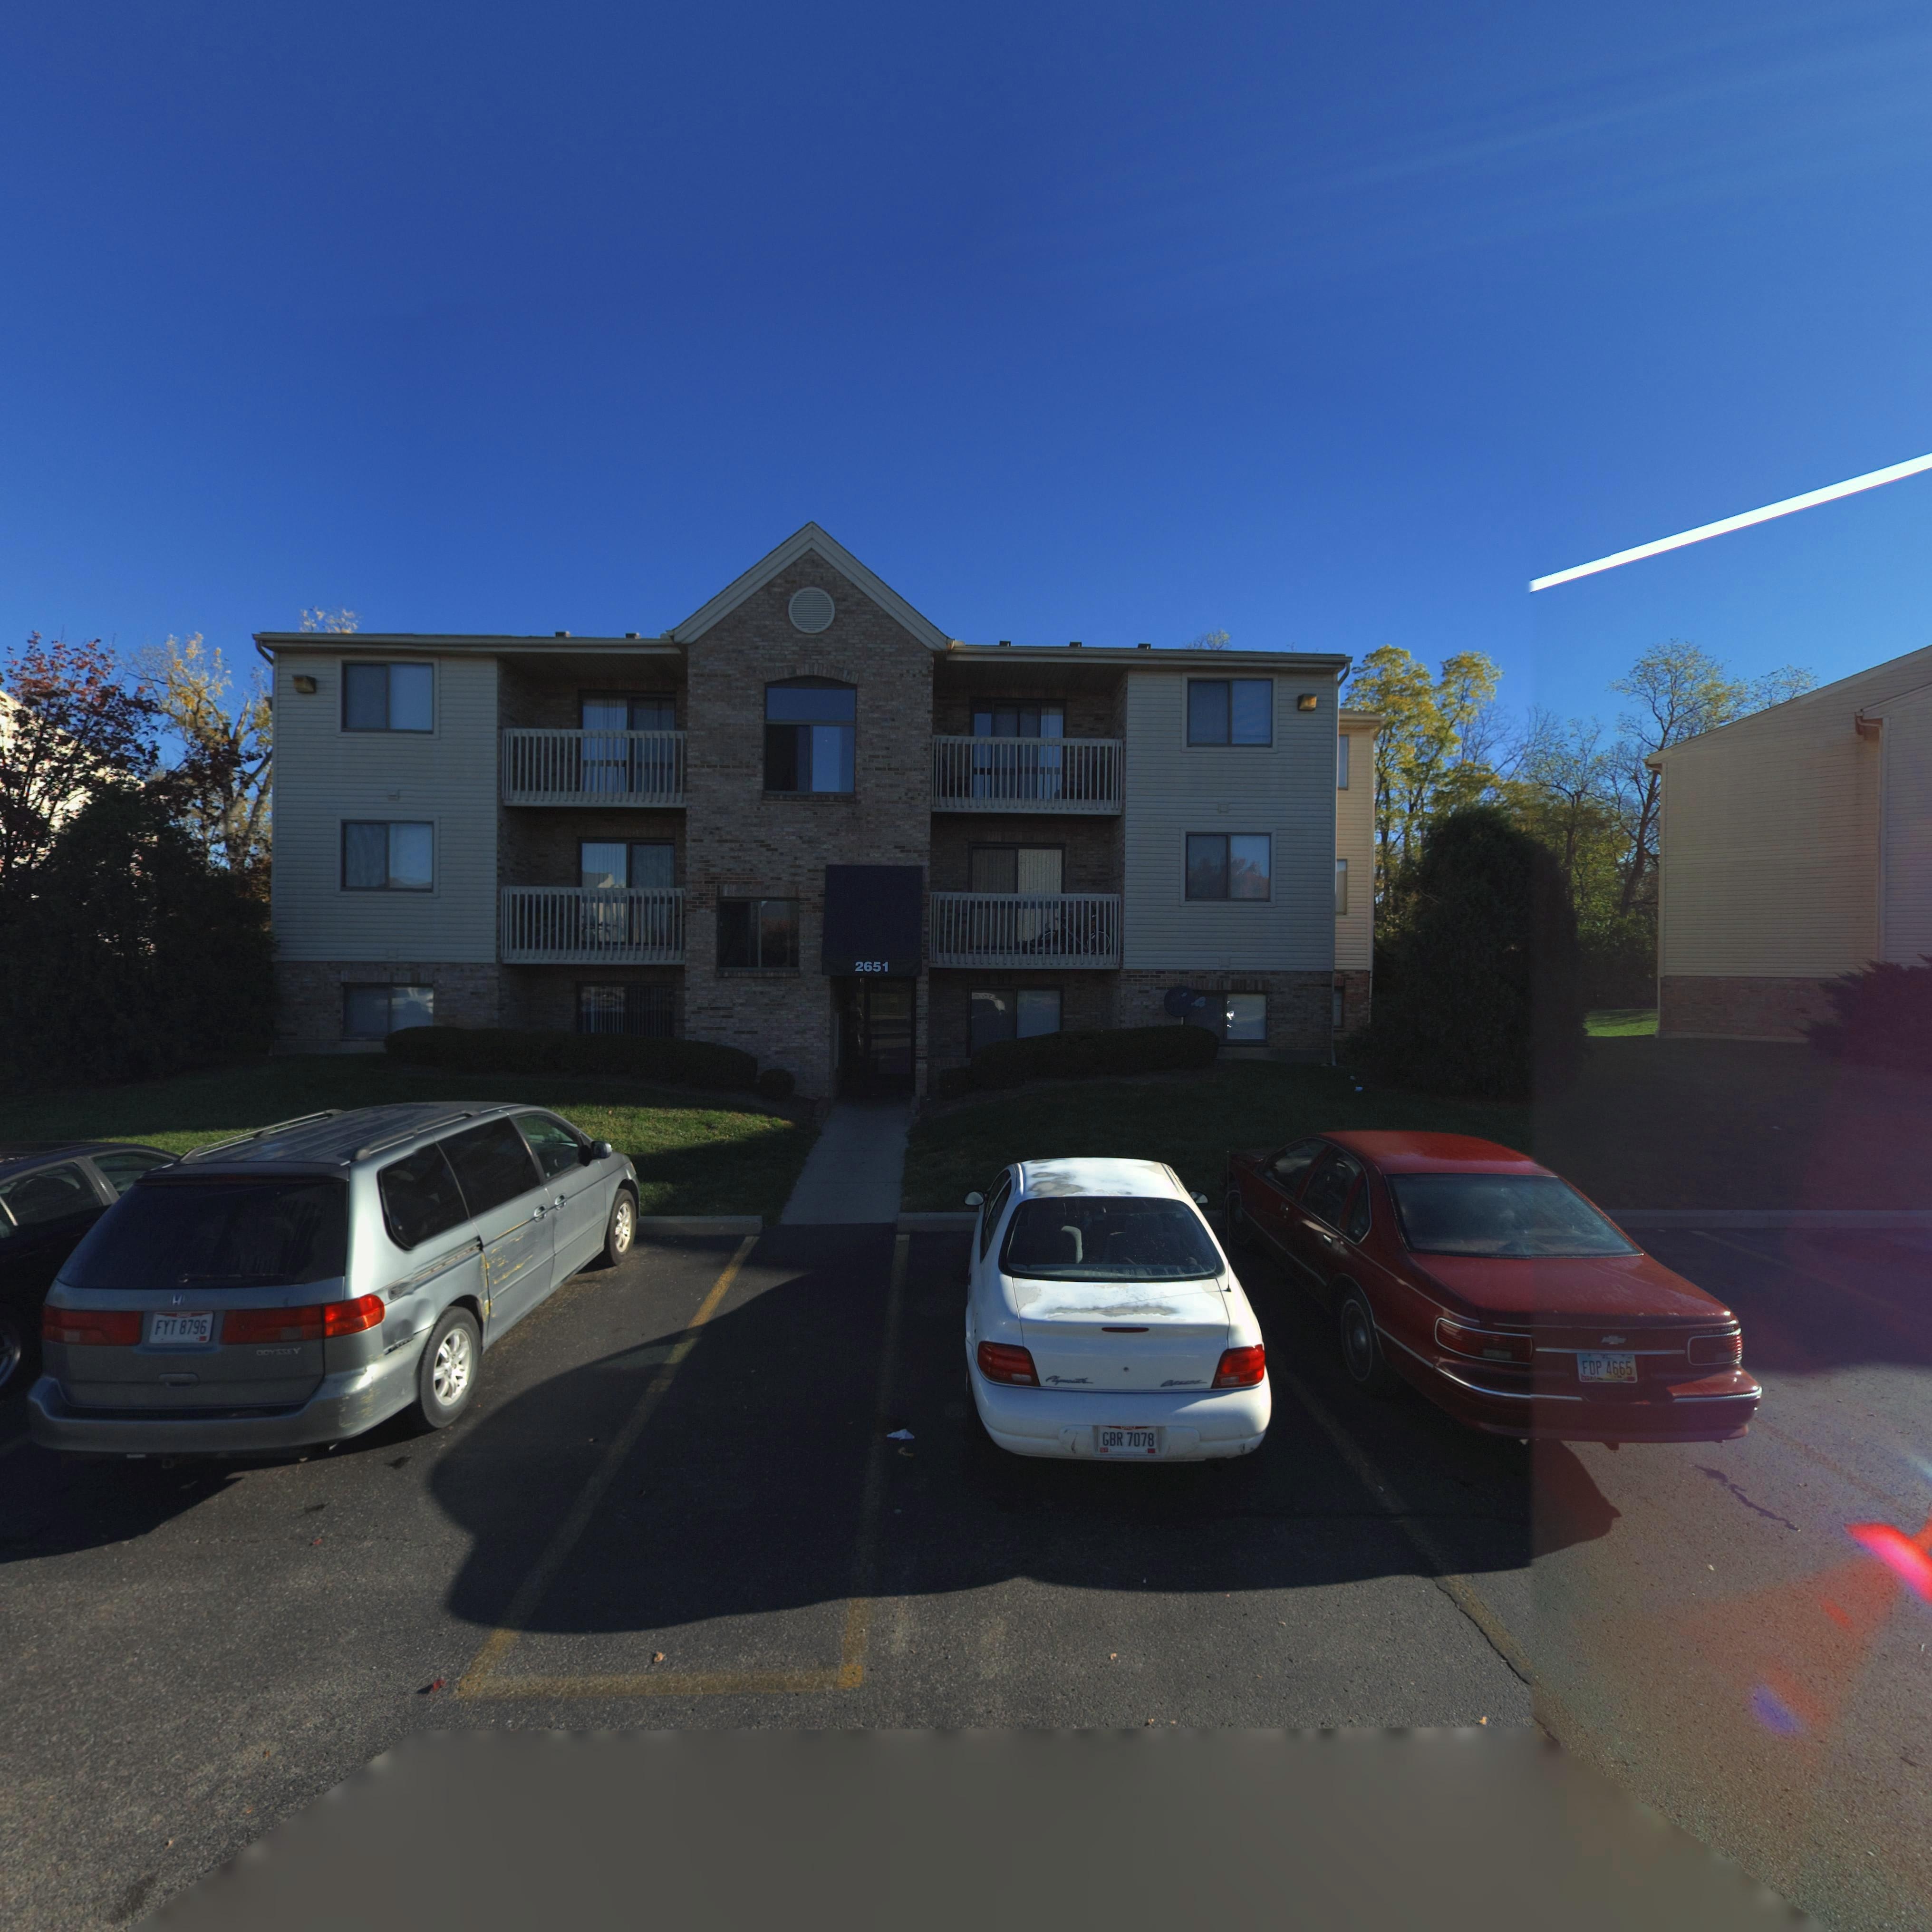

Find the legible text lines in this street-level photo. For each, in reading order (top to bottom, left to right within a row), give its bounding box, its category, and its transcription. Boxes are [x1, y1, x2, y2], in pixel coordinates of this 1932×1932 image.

[854, 960, 889, 973] StreetNumber: 2651